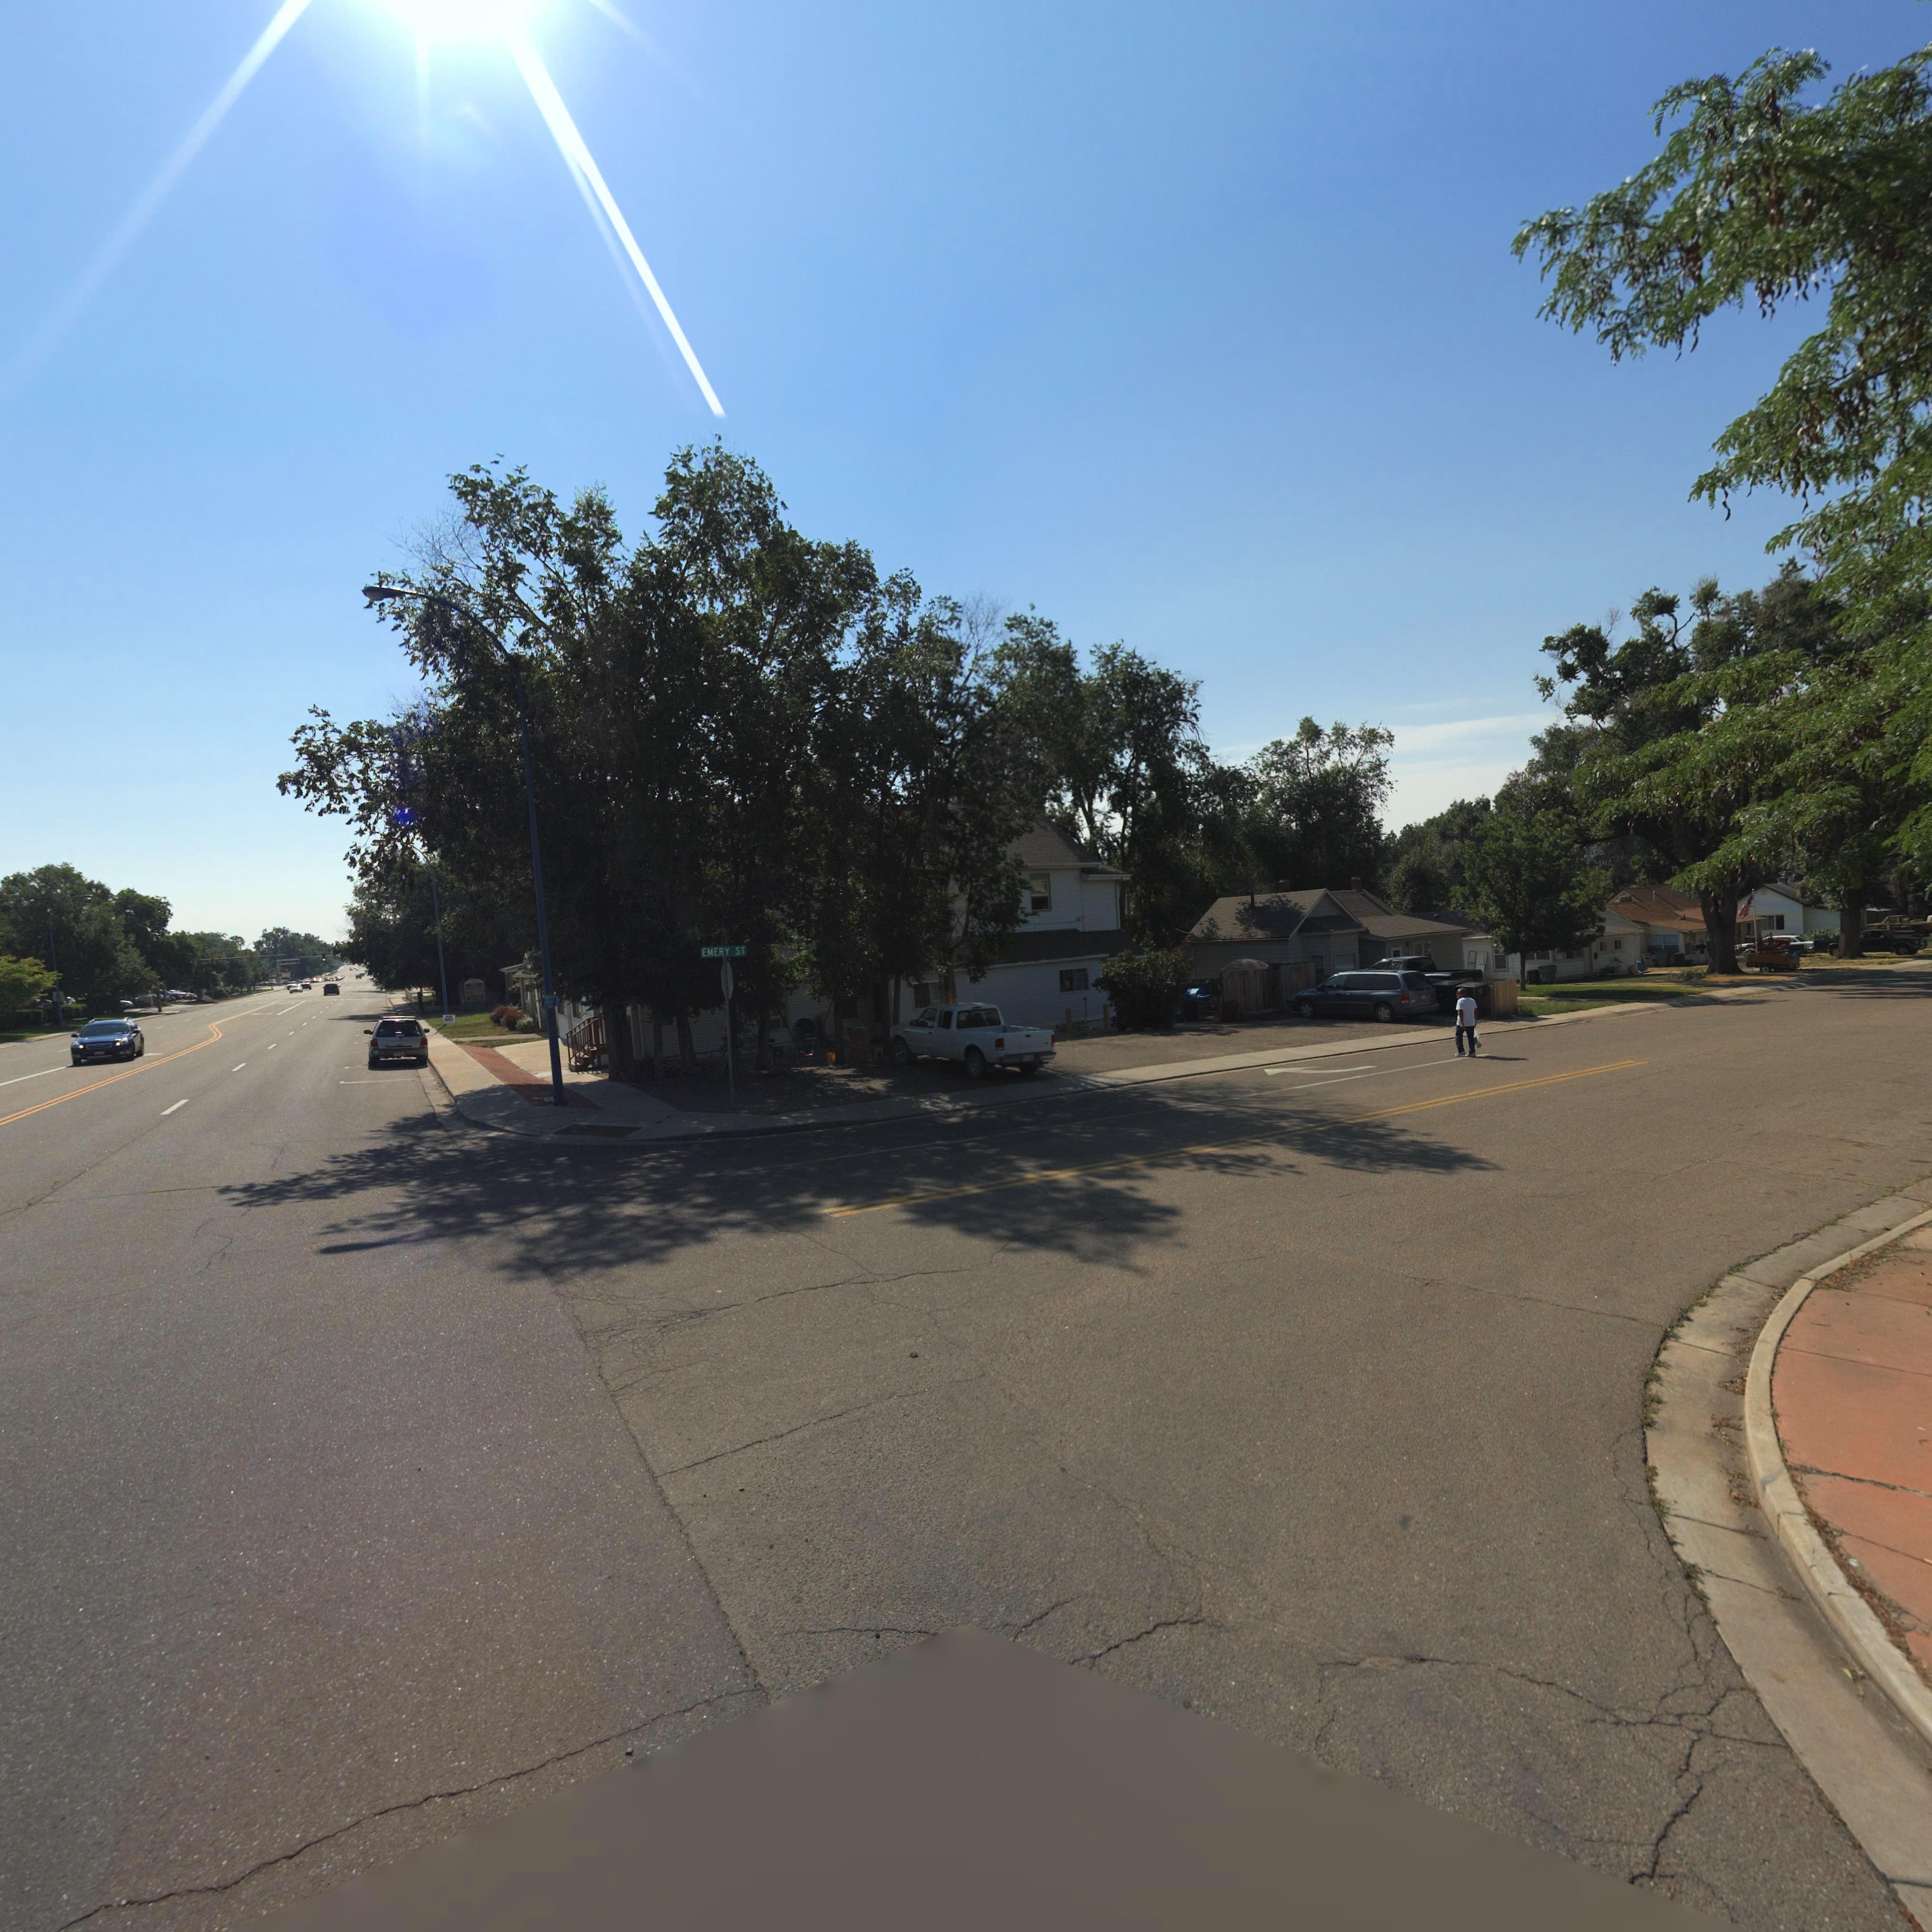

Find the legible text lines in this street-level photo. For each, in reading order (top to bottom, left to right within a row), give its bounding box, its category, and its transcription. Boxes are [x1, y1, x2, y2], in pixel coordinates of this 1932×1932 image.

[702, 946, 745, 956] StreetName: EMERY ST